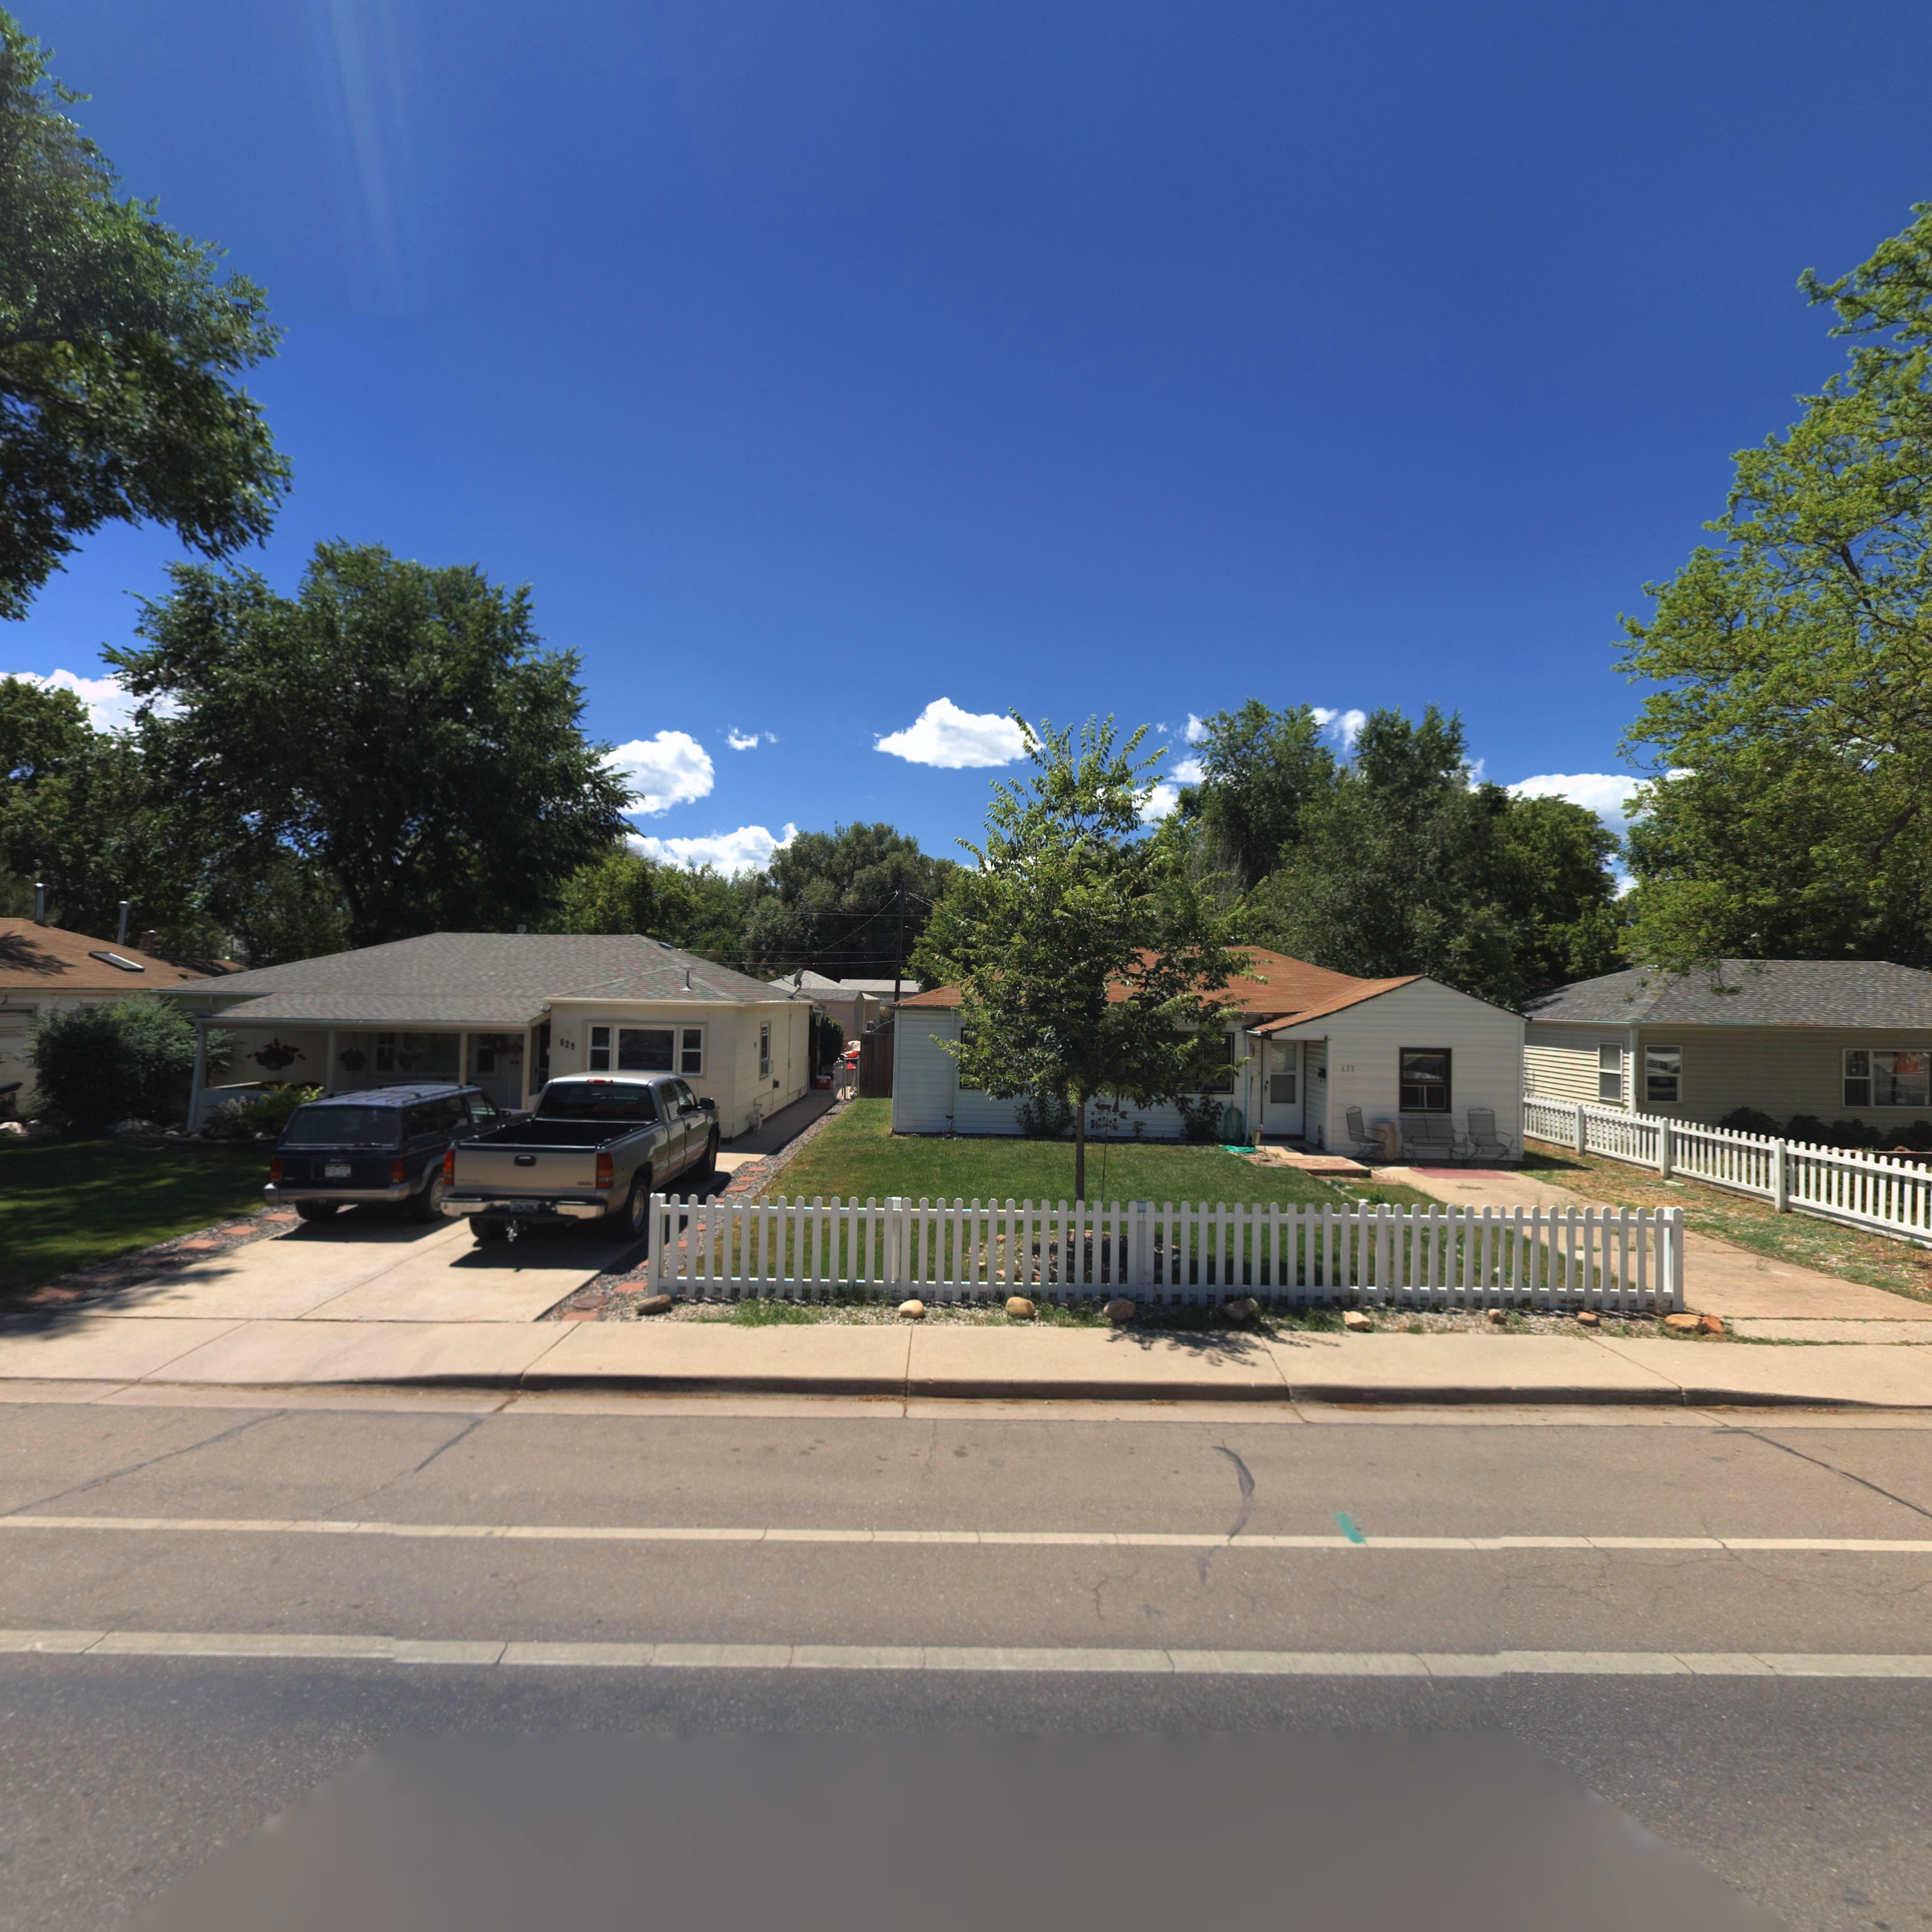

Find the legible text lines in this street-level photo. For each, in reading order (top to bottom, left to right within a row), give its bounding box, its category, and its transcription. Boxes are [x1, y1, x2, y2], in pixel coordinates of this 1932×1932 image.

[559, 1038, 575, 1051] StreetNumber: 629
[1340, 1064, 1355, 1072] StreetNumber: 633